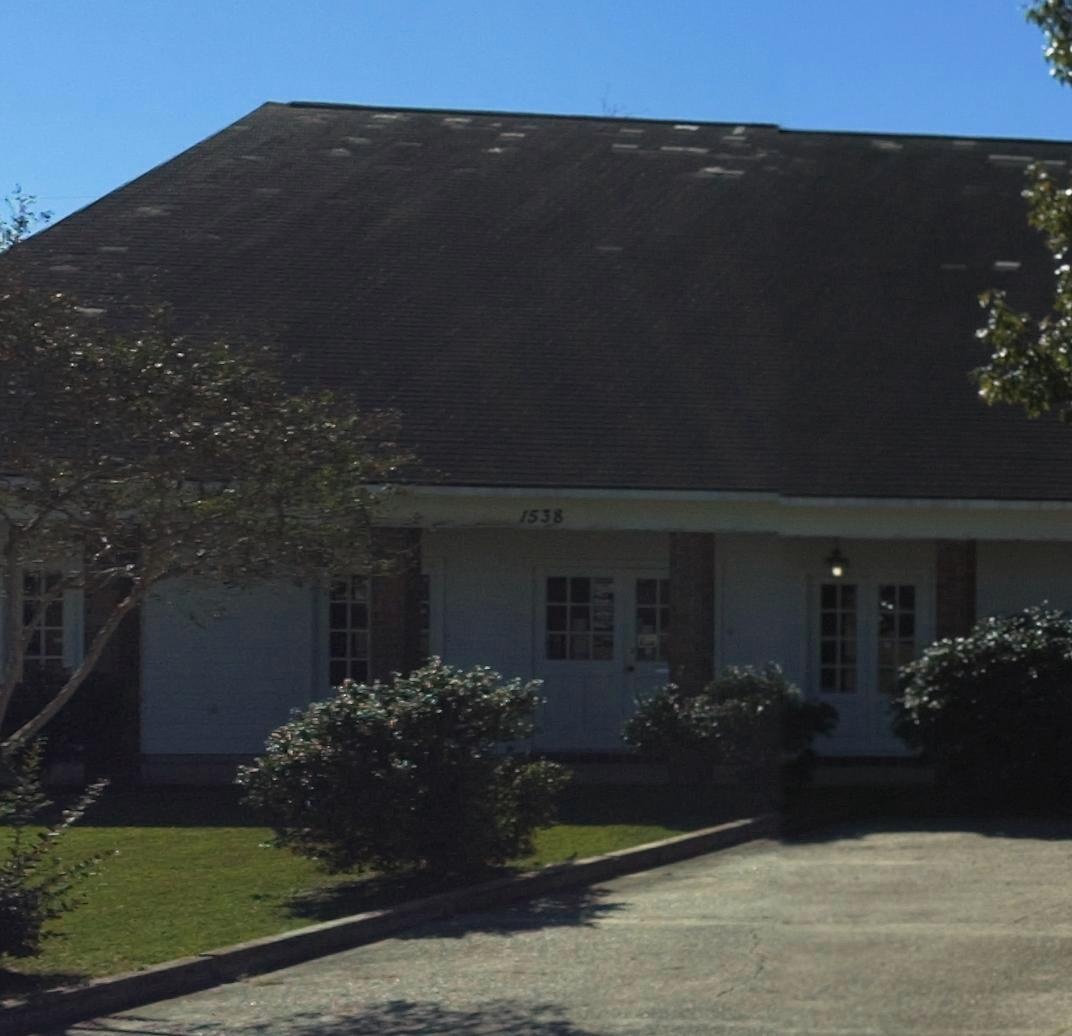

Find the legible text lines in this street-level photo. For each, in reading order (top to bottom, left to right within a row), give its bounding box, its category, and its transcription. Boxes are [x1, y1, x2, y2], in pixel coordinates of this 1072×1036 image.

[516, 505, 566, 526] StreetNumber: 1538